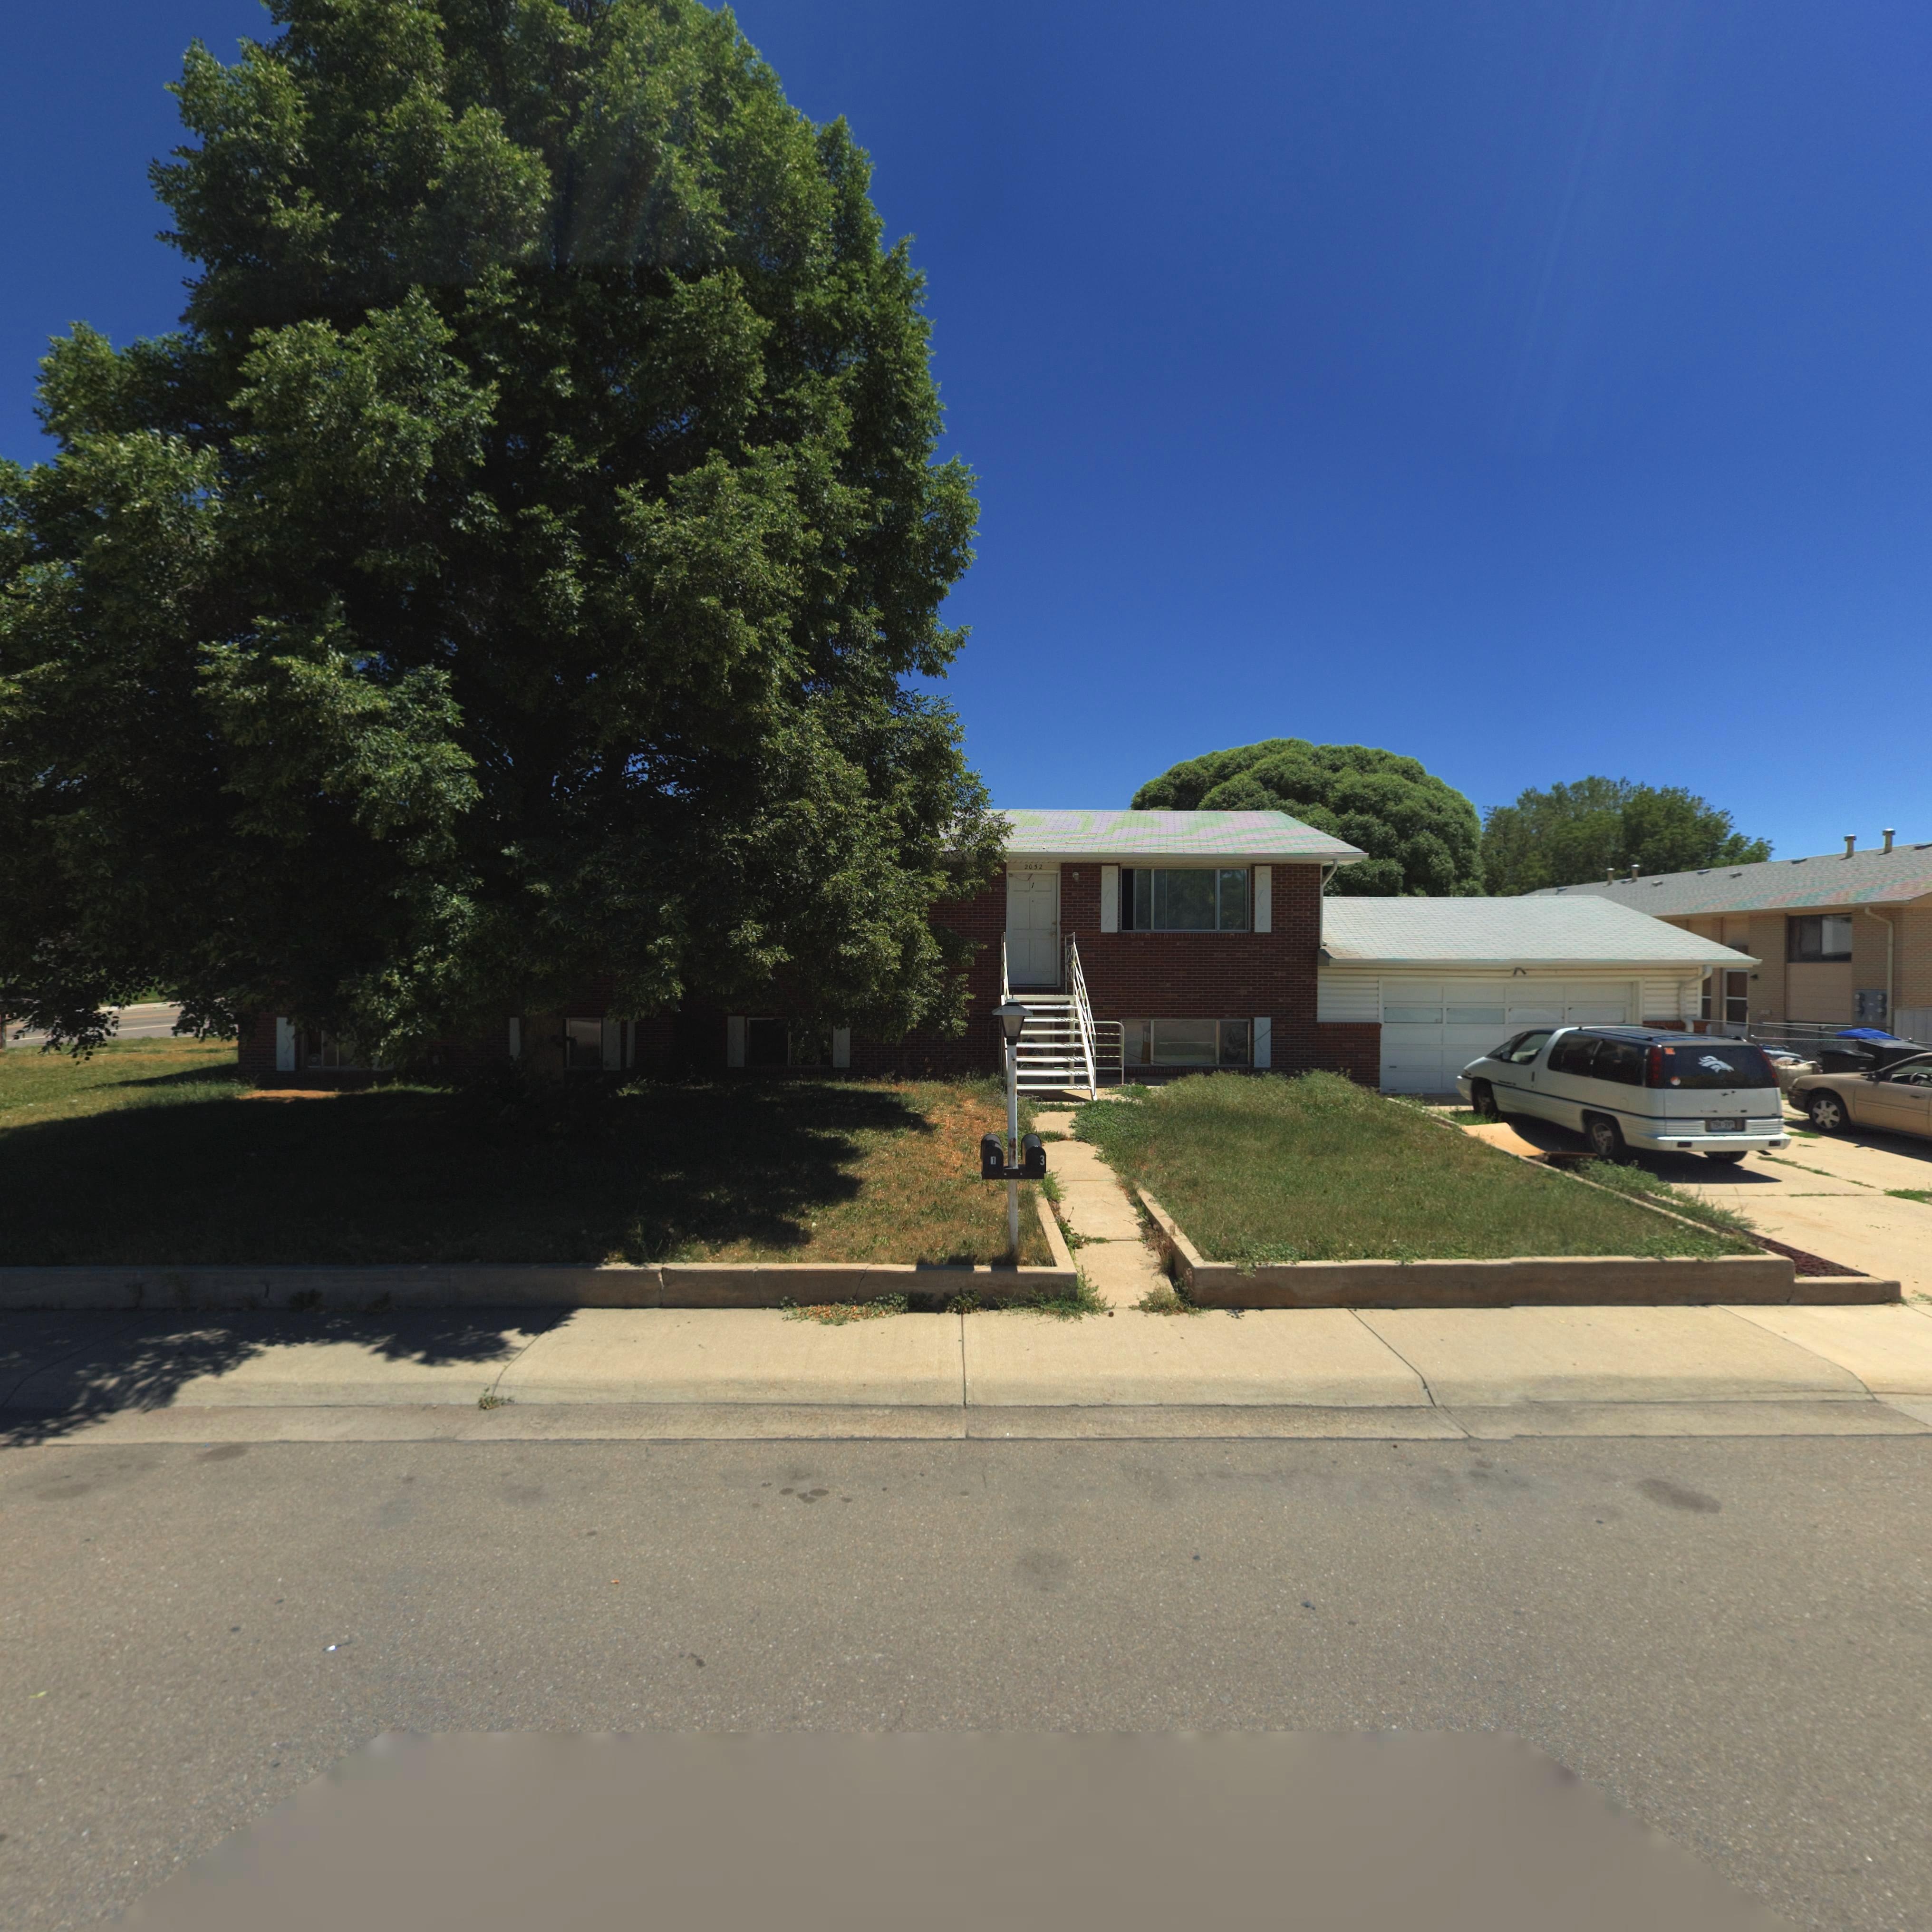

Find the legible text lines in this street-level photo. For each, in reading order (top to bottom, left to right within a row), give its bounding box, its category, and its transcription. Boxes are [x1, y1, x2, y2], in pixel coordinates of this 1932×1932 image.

[1024, 863, 1043, 869] StreetNumber: 2052
[1030, 881, 1034, 888] StreetNumber: 1
[991, 1156, 995, 1164] StreetNumber: 1
[1039, 1155, 1045, 1165] StreetNumber: 3